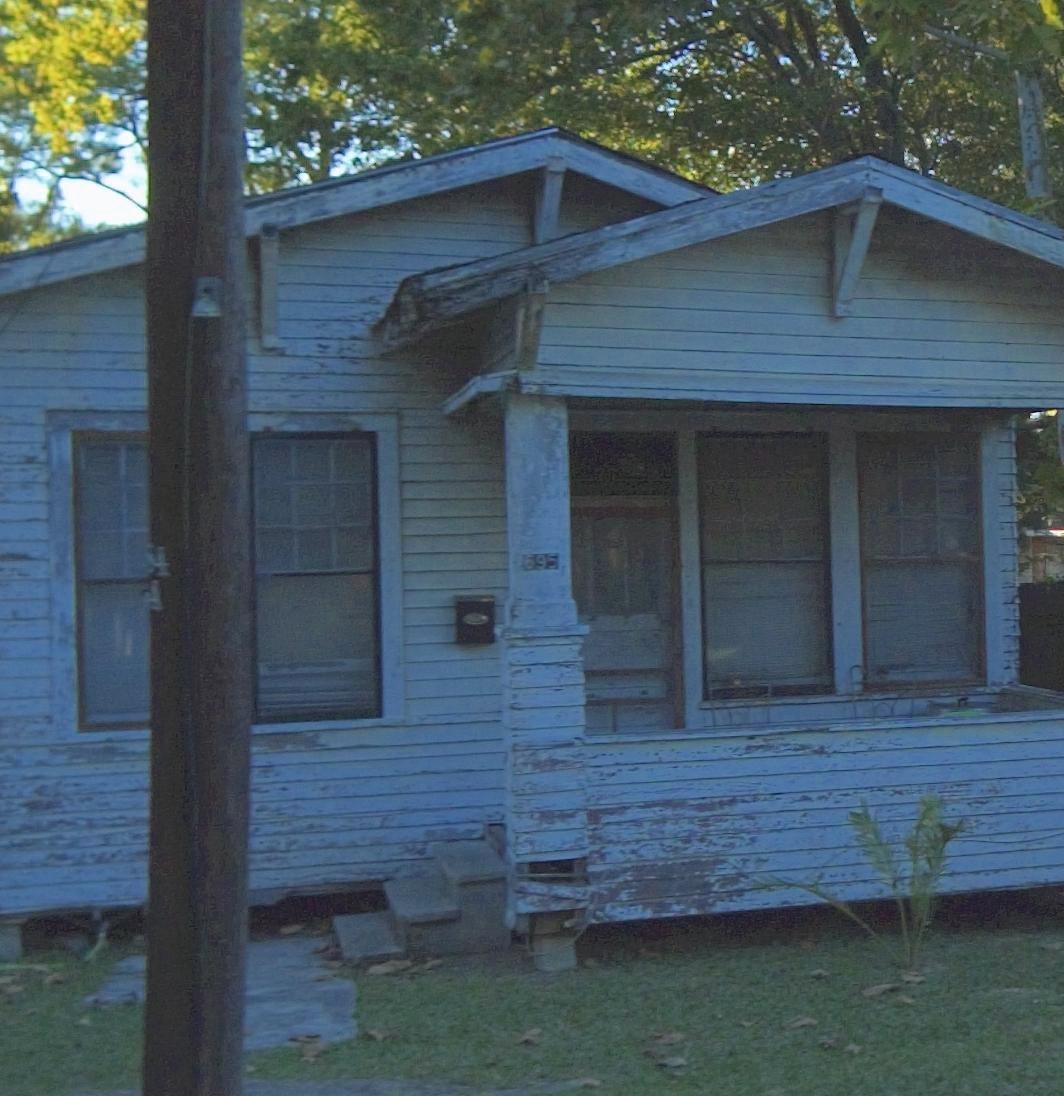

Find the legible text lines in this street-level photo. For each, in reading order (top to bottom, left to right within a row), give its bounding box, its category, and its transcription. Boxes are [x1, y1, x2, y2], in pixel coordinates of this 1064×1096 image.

[522, 552, 560, 571] StreetNumber: 695